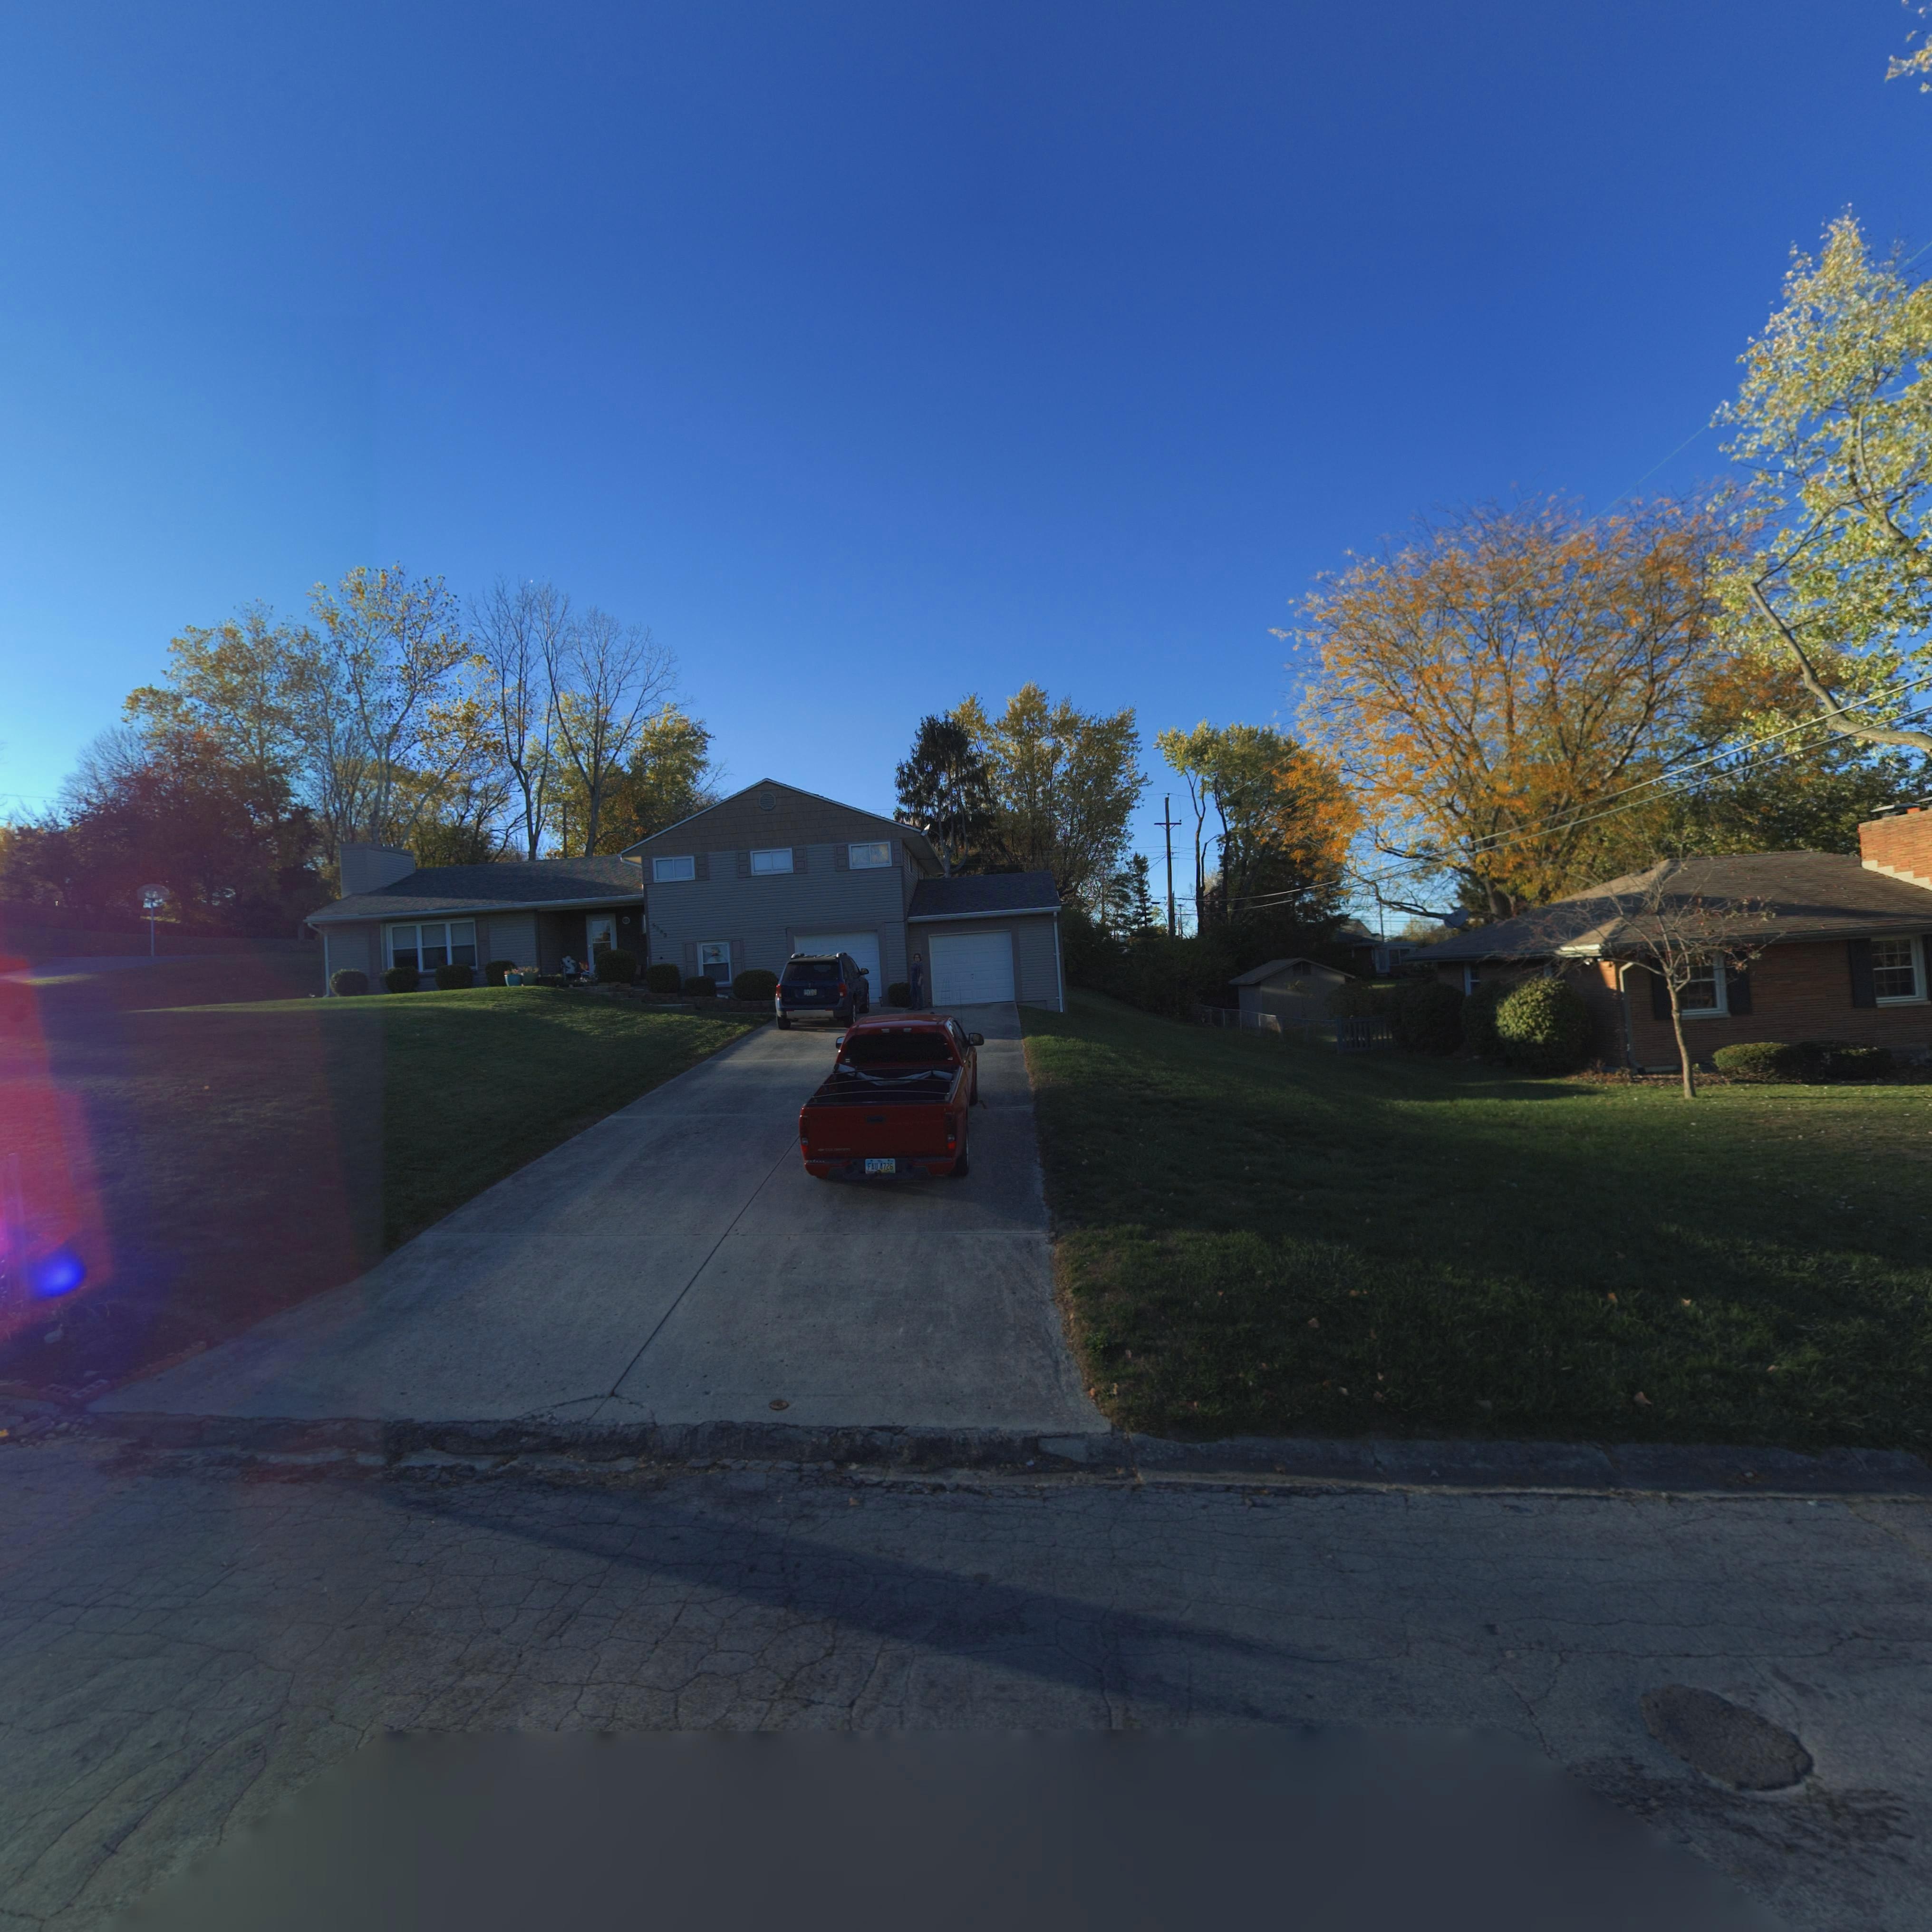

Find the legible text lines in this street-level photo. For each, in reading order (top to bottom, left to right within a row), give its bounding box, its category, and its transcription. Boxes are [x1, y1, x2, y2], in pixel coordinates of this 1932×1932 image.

[651, 922, 668, 939] StreetNumber: 5**3